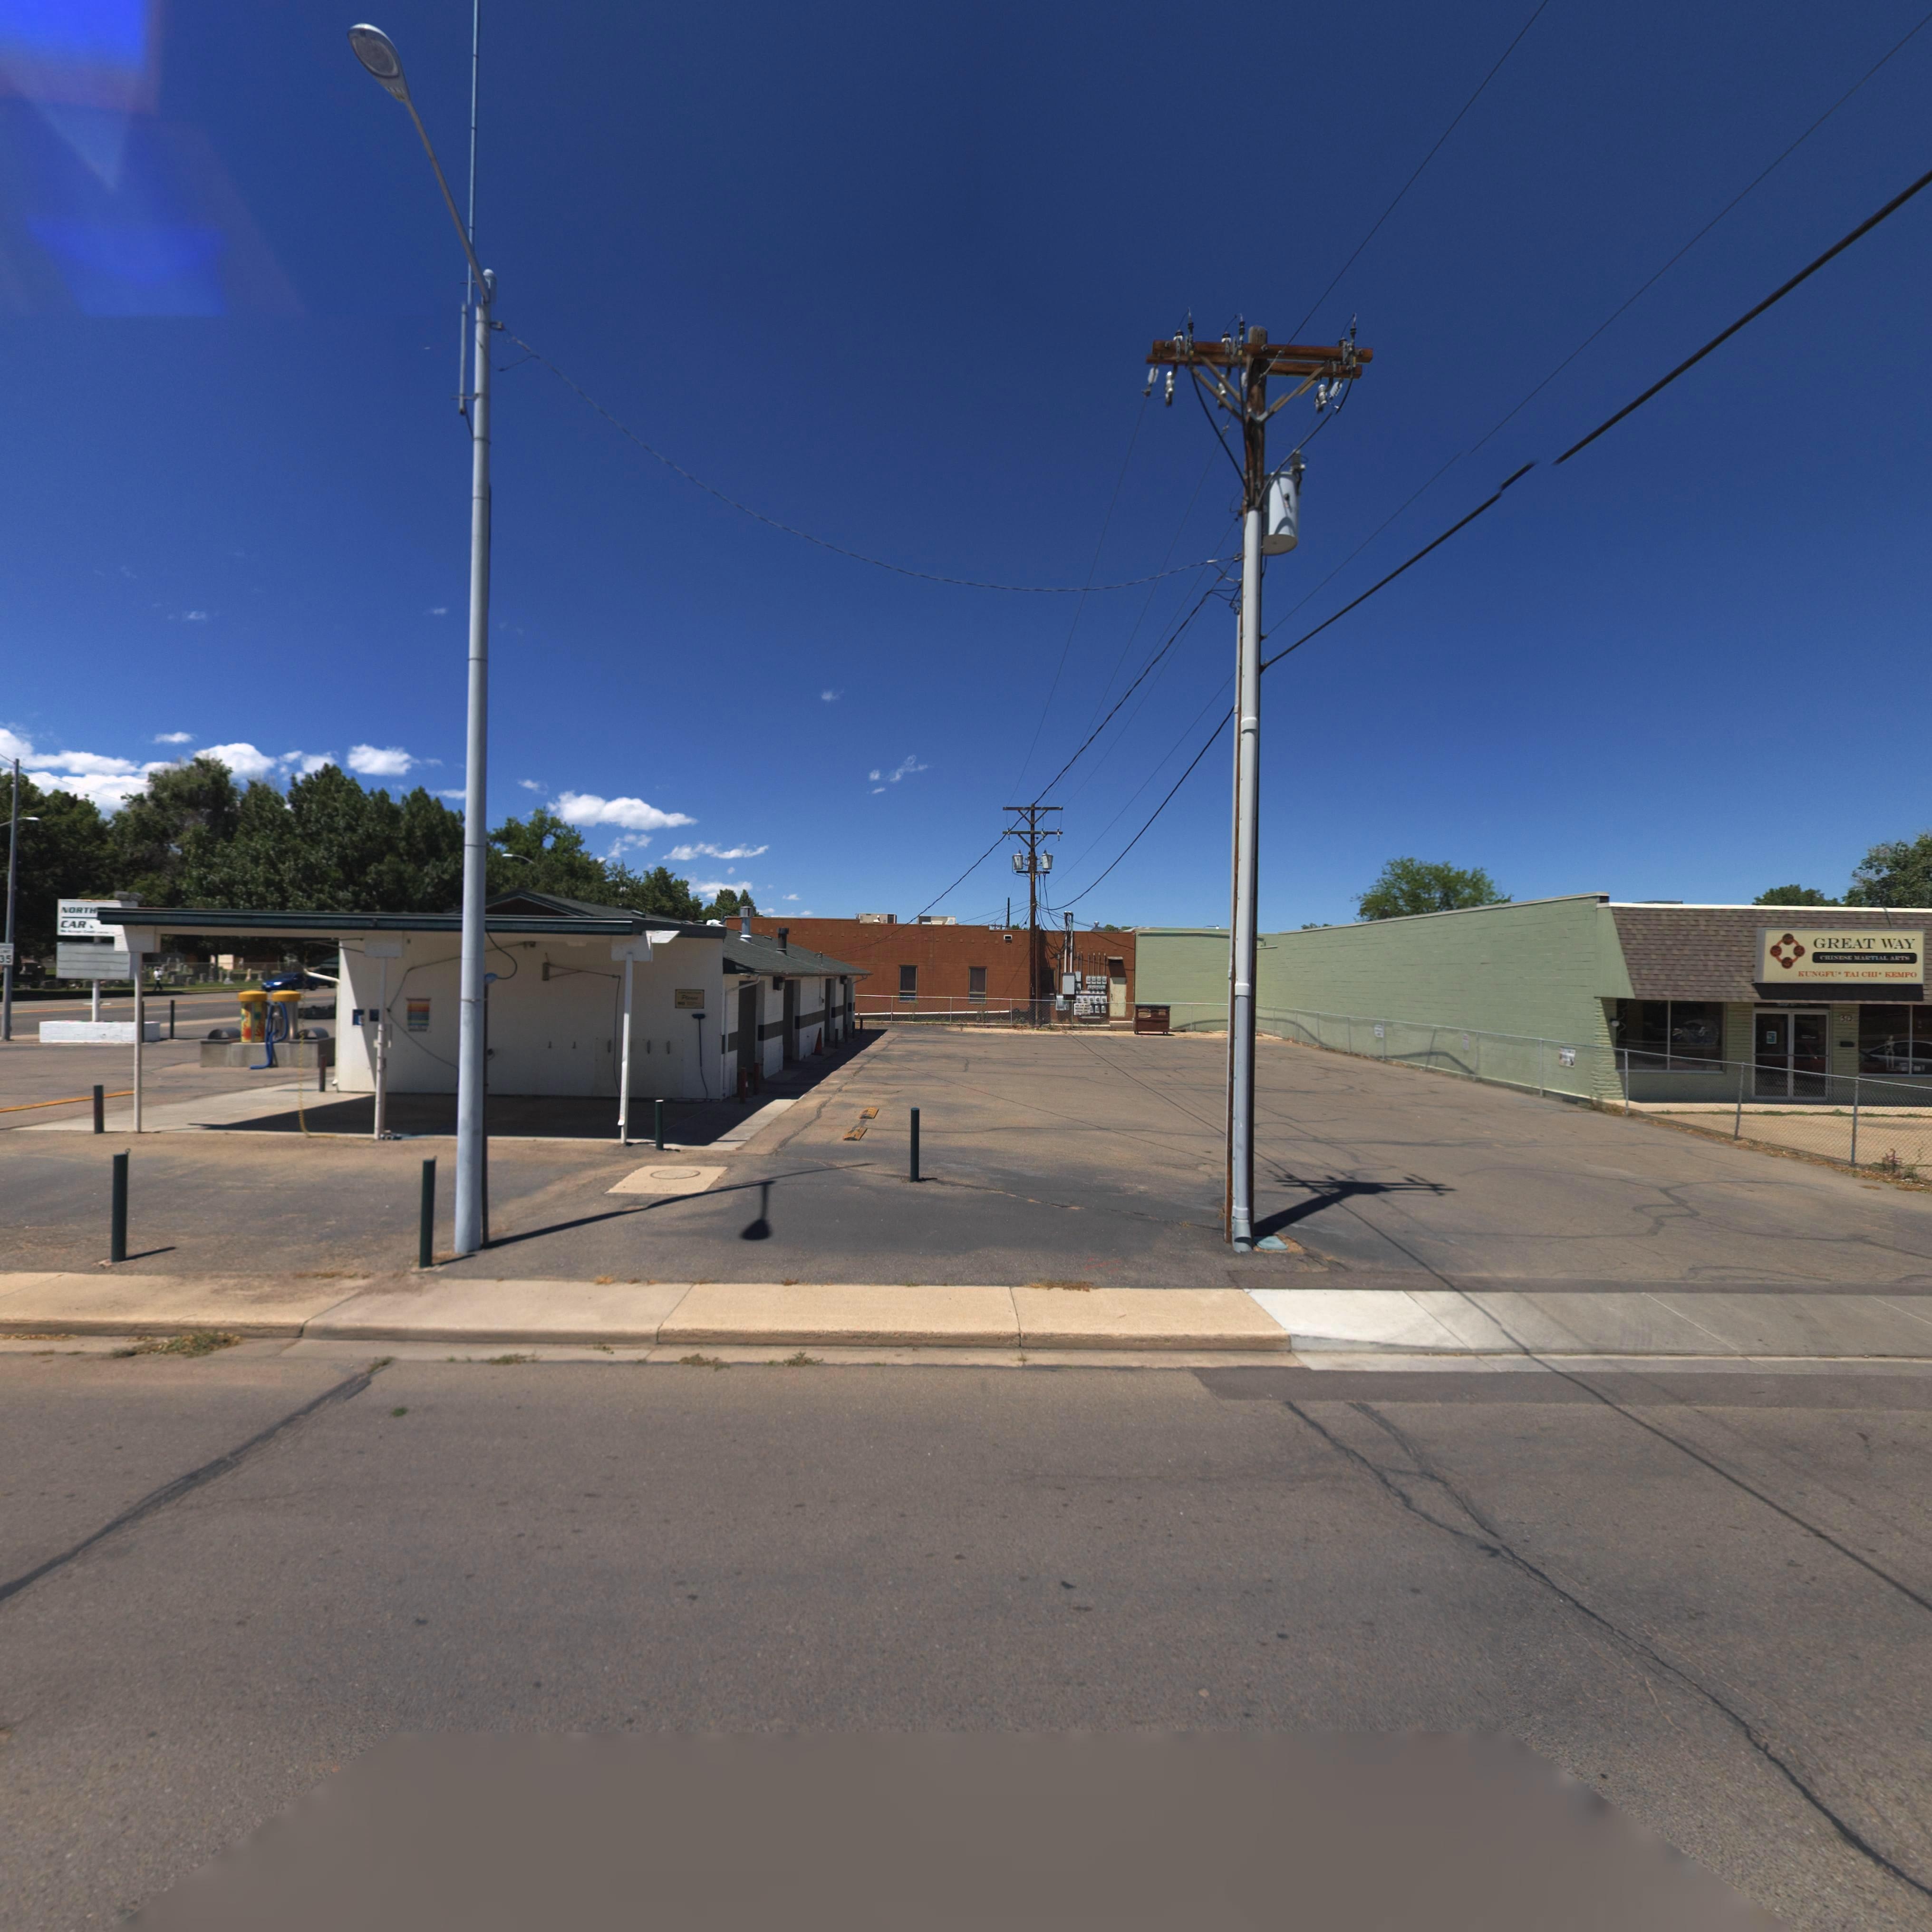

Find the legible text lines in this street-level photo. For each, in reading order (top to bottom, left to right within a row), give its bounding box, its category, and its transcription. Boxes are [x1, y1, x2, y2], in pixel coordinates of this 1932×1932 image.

[59, 907, 97, 914] BusinessName: NORTH
[60, 920, 87, 928] BusinessName: CAR
[1812, 937, 1916, 949] BusinessName: GREAT WAY
[1819, 955, 1910, 961] BusinessName: CHINESE MARTIAL ARTS
[1839, 1014, 1854, 1022] StreetNumber: 312